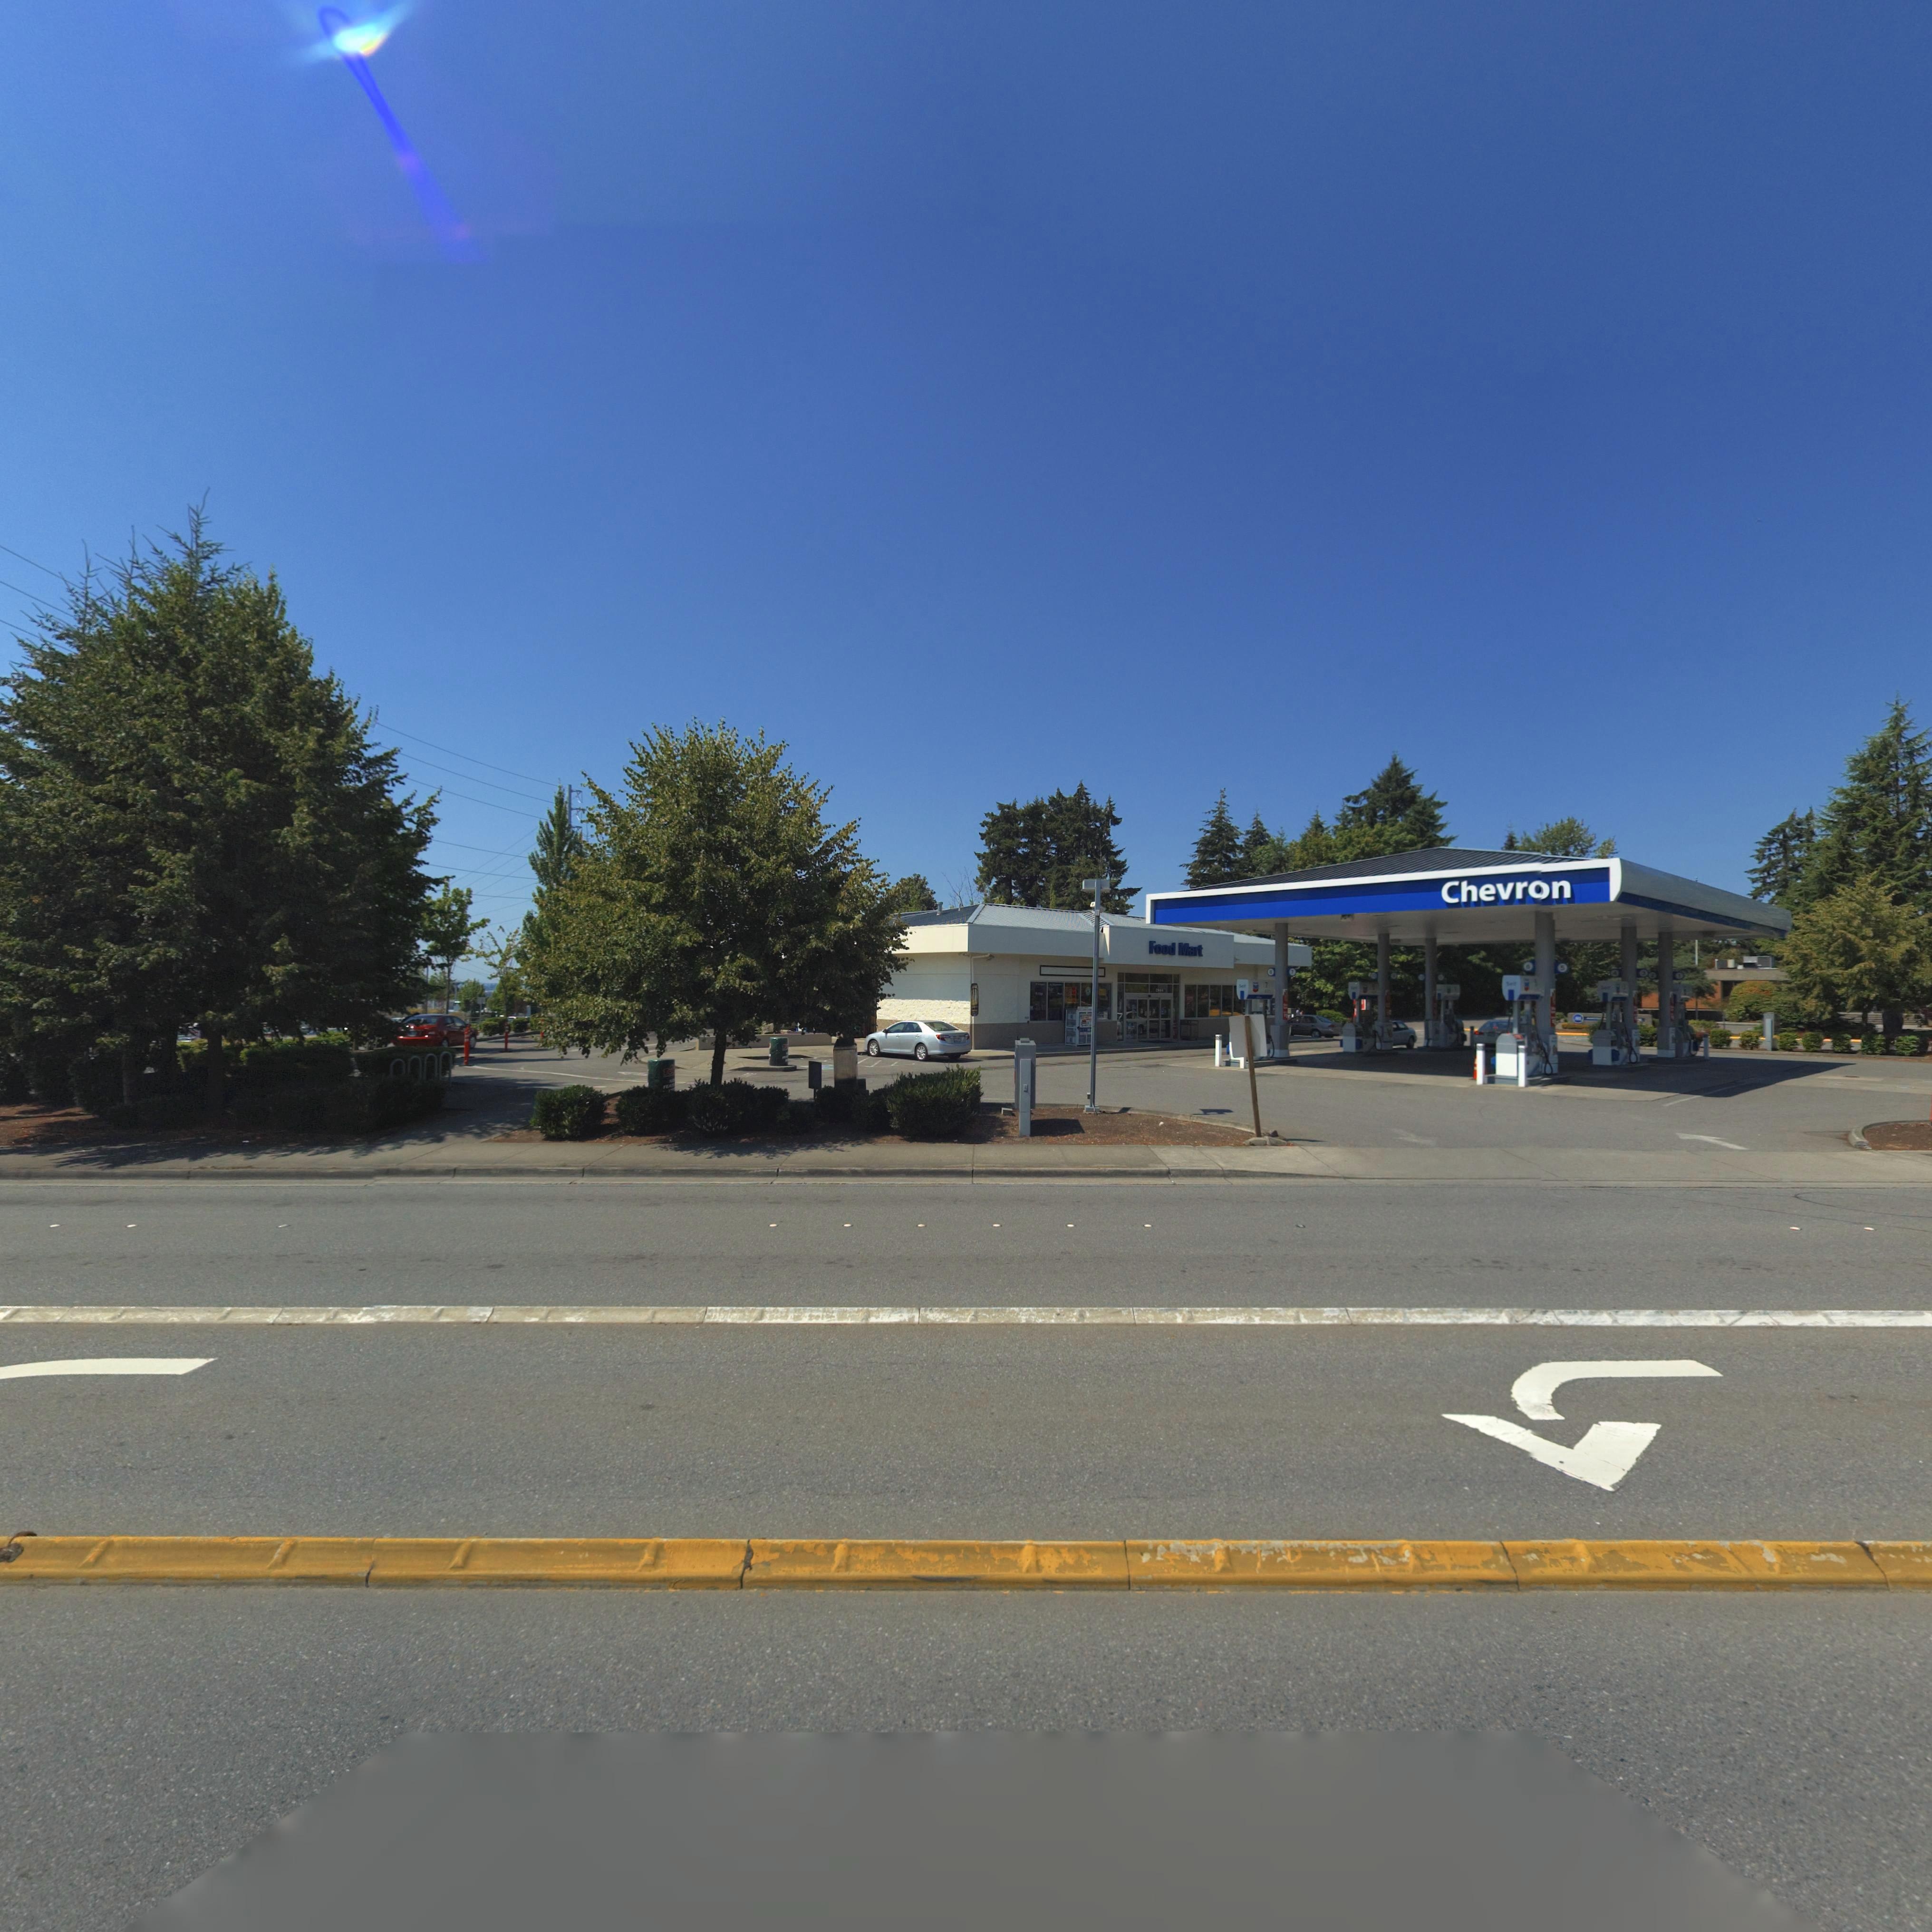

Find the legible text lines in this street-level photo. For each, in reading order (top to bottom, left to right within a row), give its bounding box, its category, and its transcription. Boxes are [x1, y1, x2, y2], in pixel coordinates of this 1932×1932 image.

[1441, 880, 1570, 903] BusinessName: Chevron